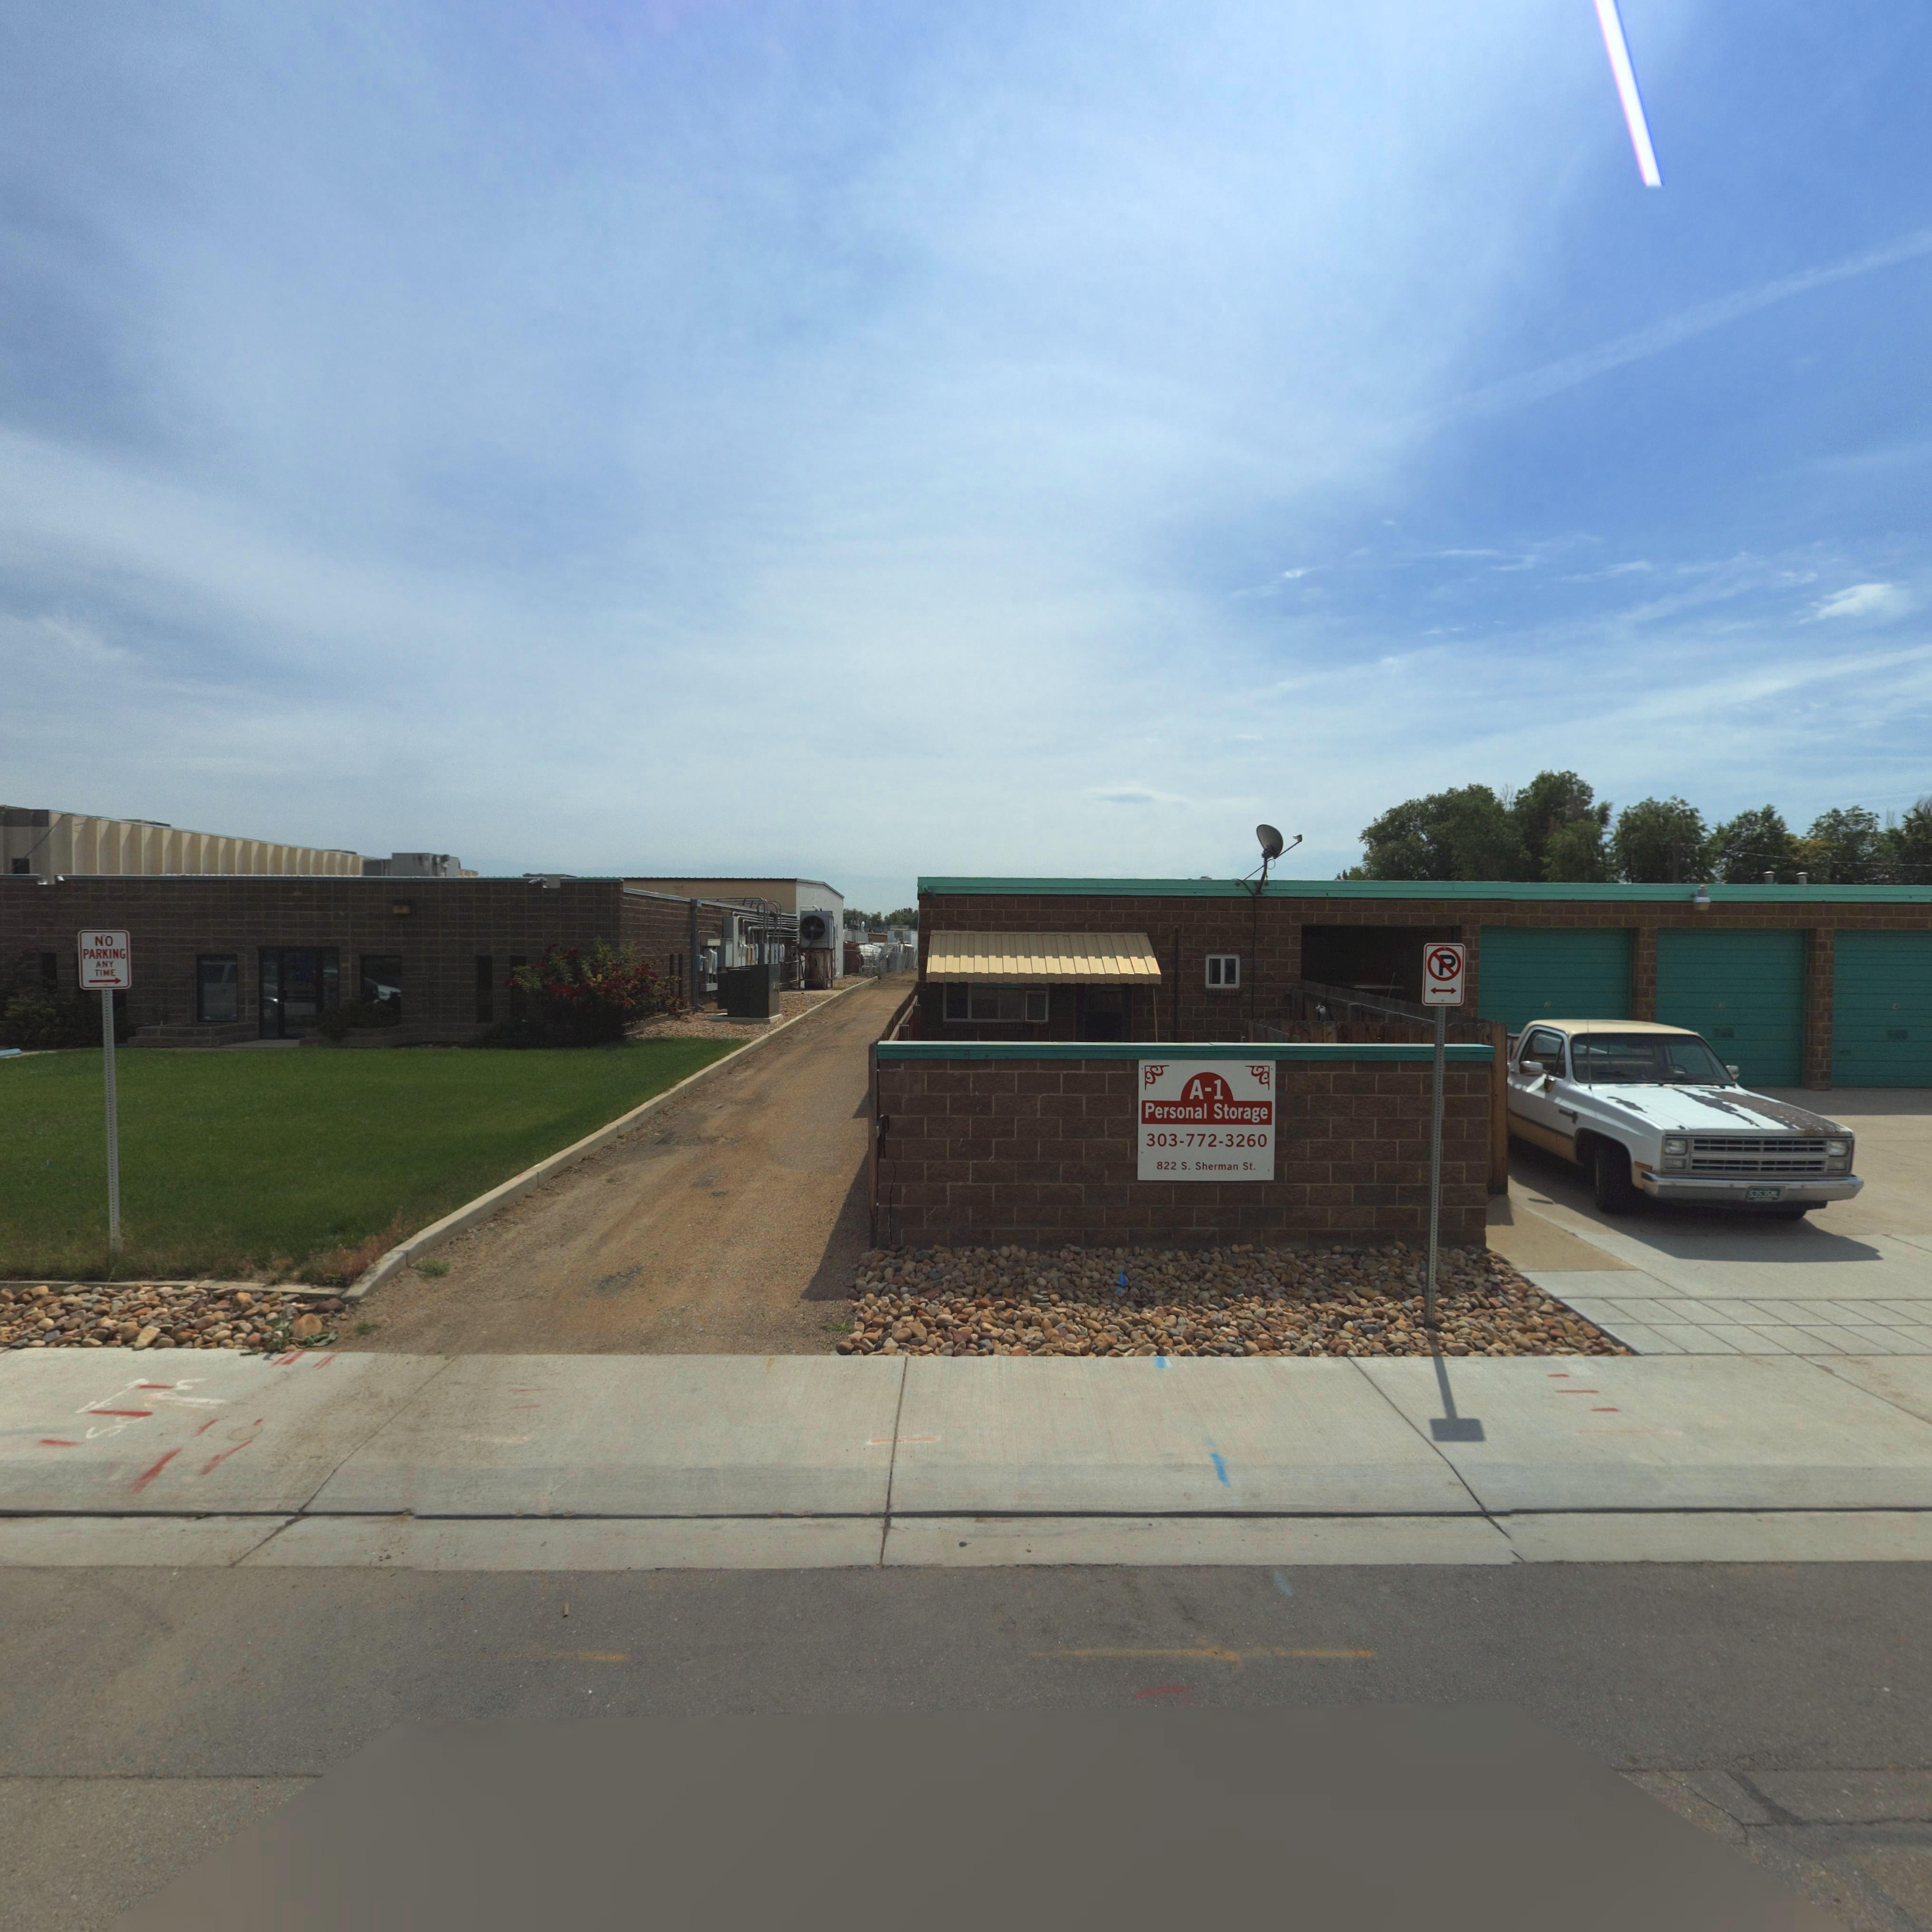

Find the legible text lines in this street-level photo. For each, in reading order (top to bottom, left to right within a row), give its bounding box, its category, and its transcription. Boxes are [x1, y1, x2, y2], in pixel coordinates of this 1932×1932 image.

[1188, 1078, 1224, 1100] BusinessName: A-1
[1144, 1101, 1269, 1123] BusinessName: Personal Storage
[1156, 1160, 1178, 1170] StreetNumber: 822
[1180, 1160, 1256, 1170] StreetName: S. Sherman St.